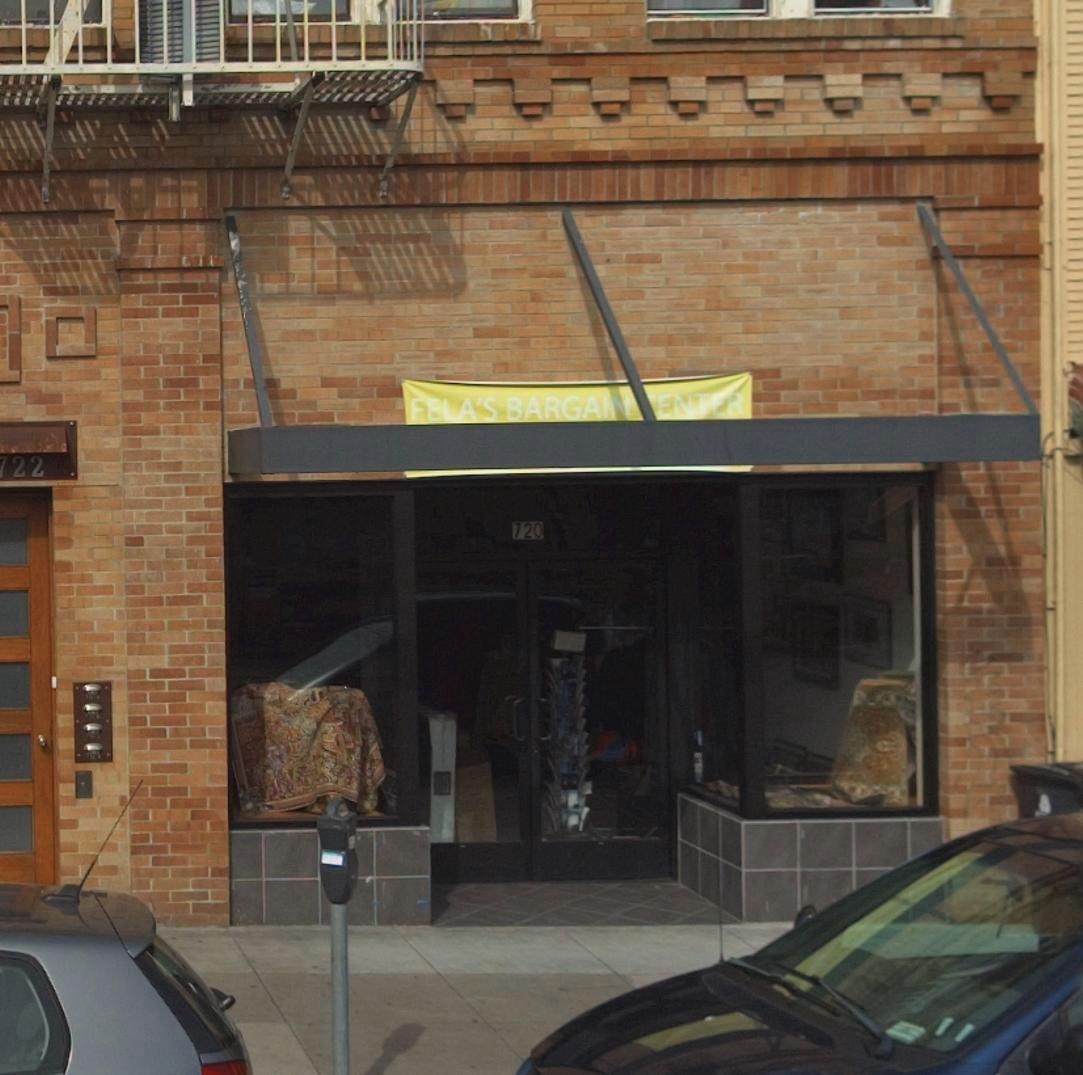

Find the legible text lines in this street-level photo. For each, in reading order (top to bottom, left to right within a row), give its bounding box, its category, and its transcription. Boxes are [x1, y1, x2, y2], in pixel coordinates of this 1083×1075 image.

[409, 391, 744, 423] BusinessName: FELA'S BARGAIN *ENTER
[513, 521, 543, 540] StreetNumber: 720